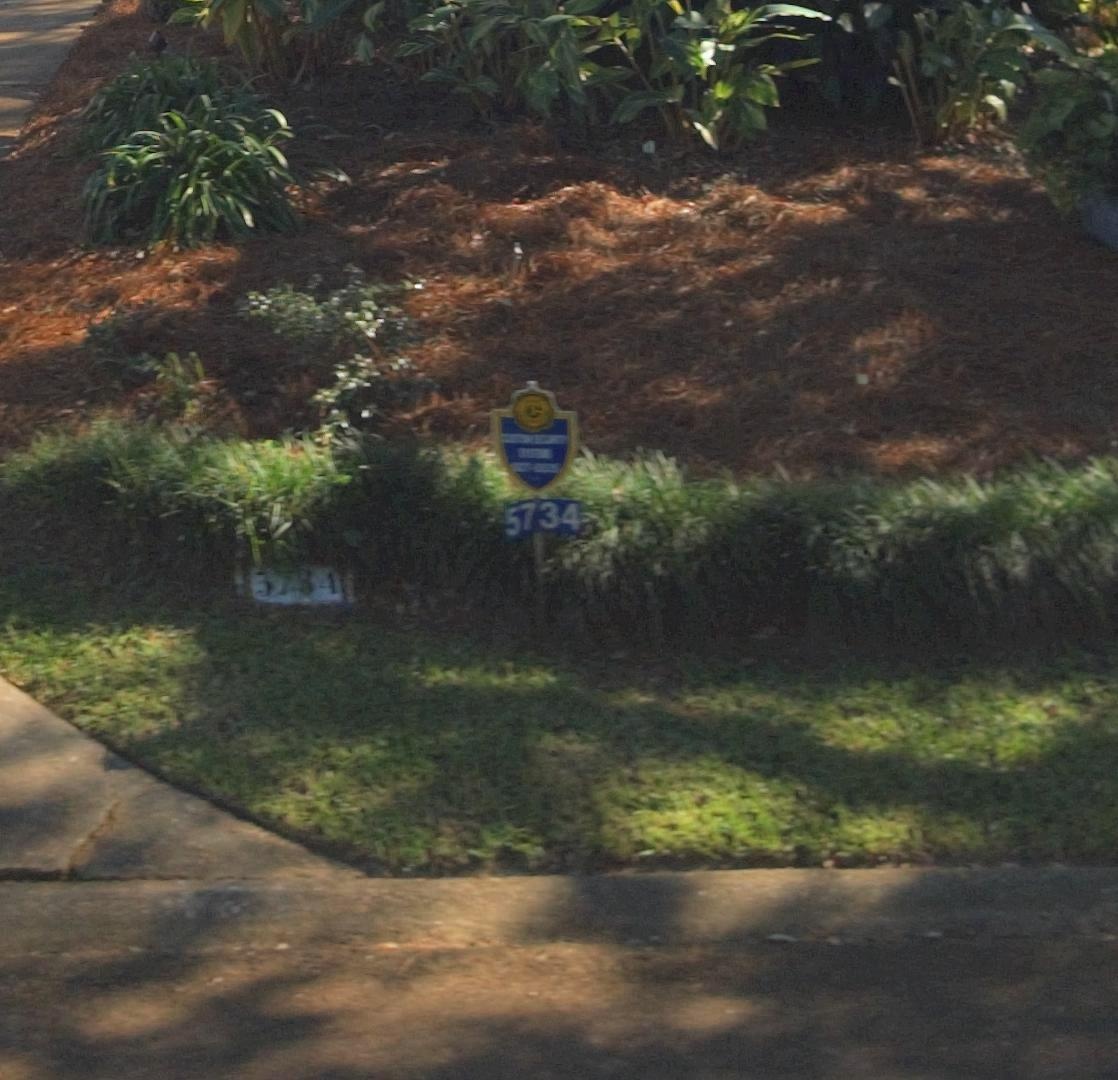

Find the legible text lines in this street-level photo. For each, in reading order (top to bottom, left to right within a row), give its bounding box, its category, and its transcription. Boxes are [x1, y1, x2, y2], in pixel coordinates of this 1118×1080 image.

[503, 498, 582, 539] StreetNumber: 5734
[313, 565, 342, 600] None: 4